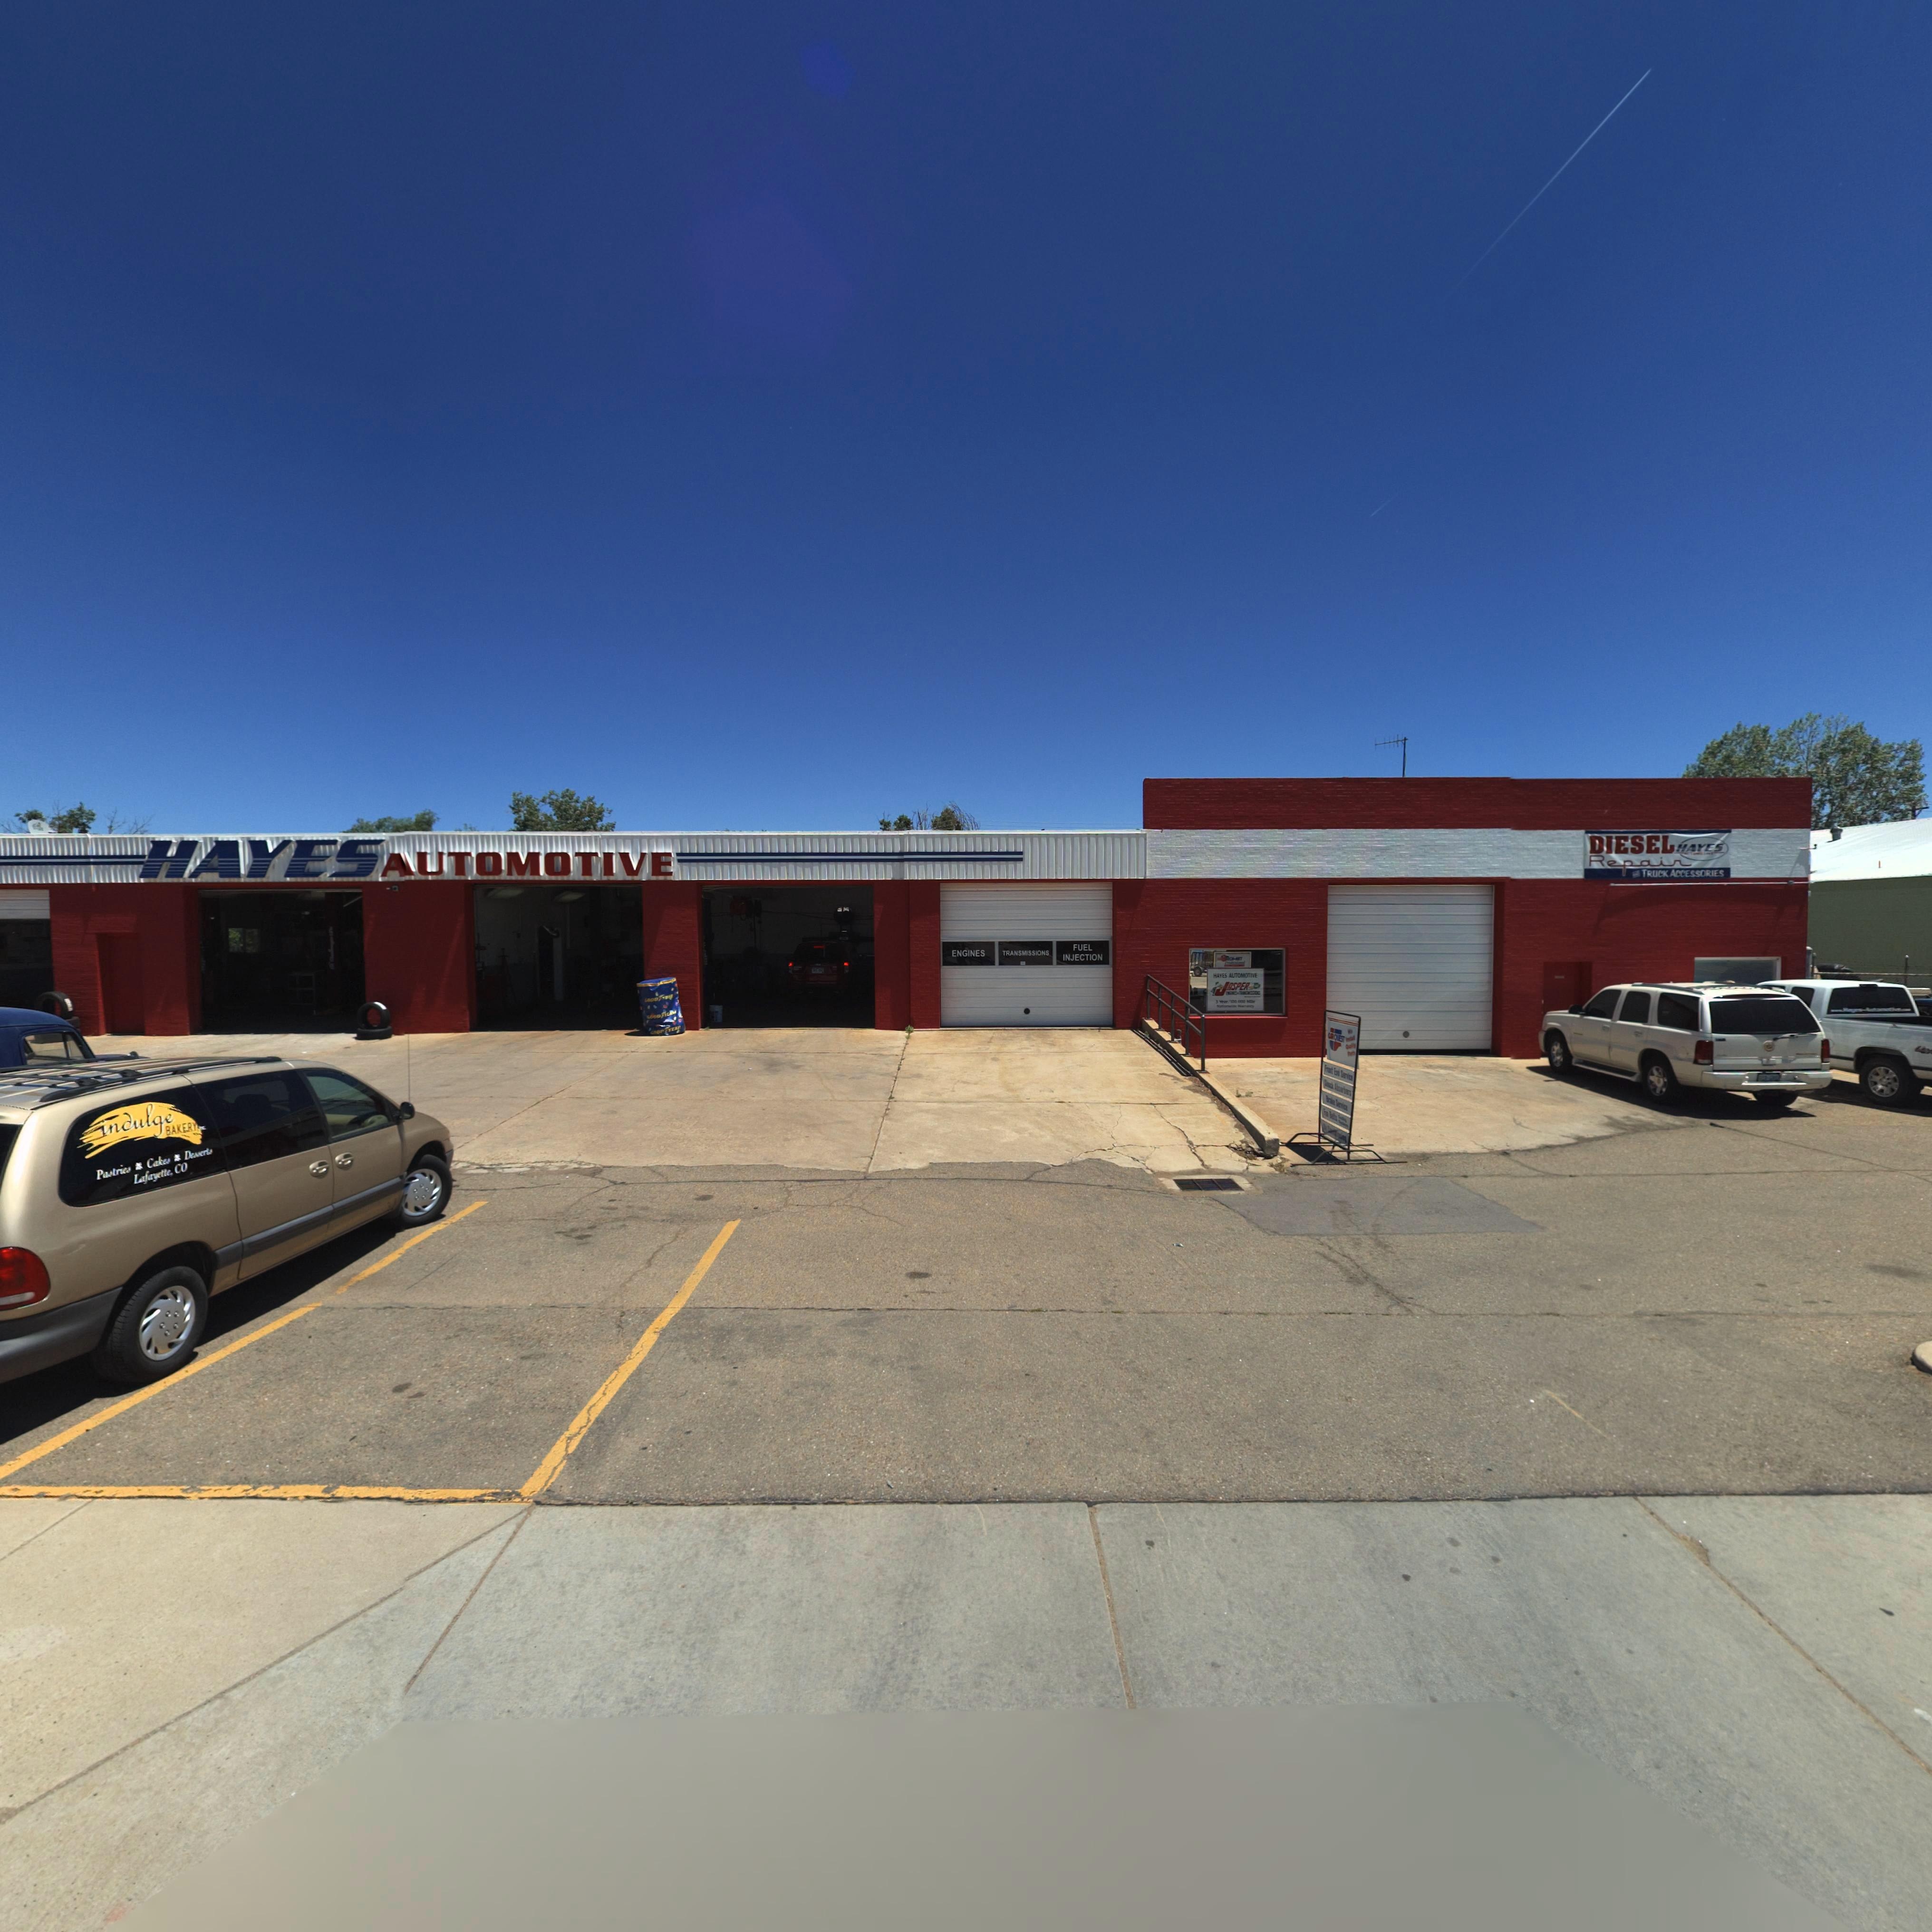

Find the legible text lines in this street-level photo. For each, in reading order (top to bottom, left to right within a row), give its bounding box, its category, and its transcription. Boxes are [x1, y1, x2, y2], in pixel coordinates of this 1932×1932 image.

[1589, 835, 1674, 854] BusinessName: DIESEL
[1676, 843, 1723, 851] BusinessName: HAYES
[136, 838, 674, 879] BusinessName: HAYES AUTOMOTIVE
[1589, 854, 1692, 876] BusinessName: Repair
[1213, 973, 1257, 978] None: HAYES AUTOMOTIVE